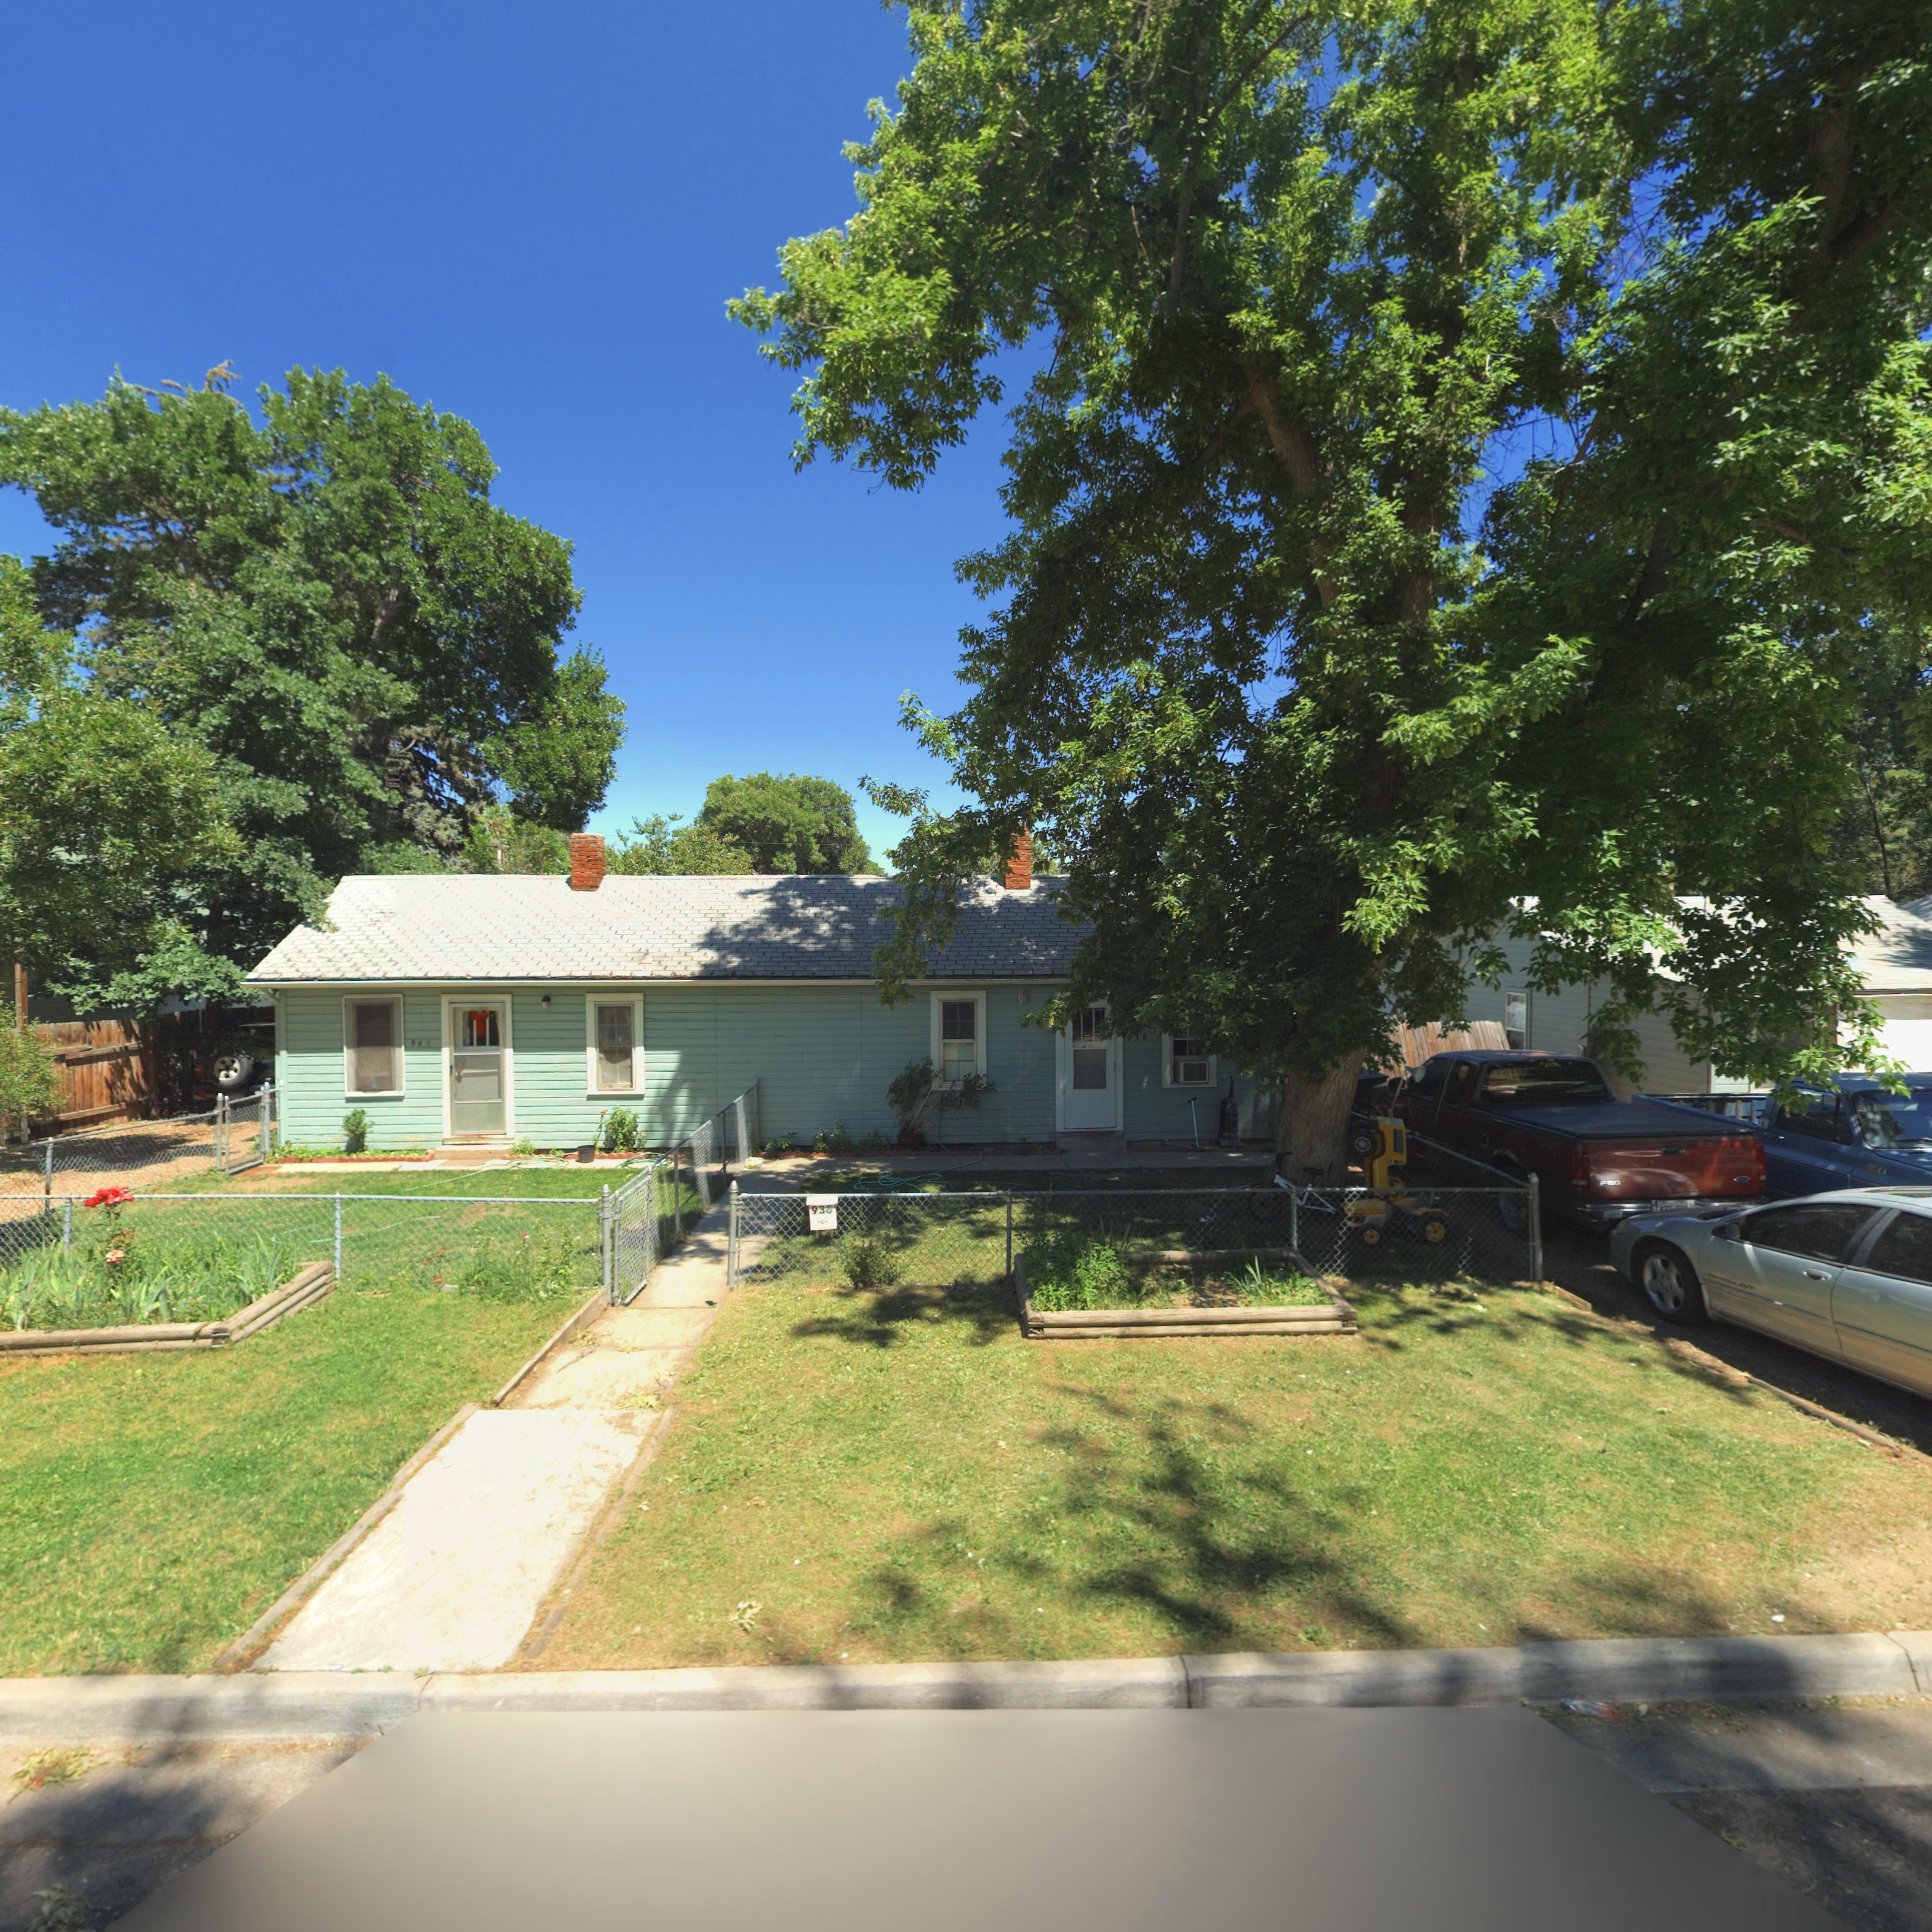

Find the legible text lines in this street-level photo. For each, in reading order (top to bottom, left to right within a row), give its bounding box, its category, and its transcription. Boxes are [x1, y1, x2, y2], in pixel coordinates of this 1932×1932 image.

[411, 1039, 431, 1047] StreetNumber: 940
[810, 1203, 833, 1217] StreetNumber: 938